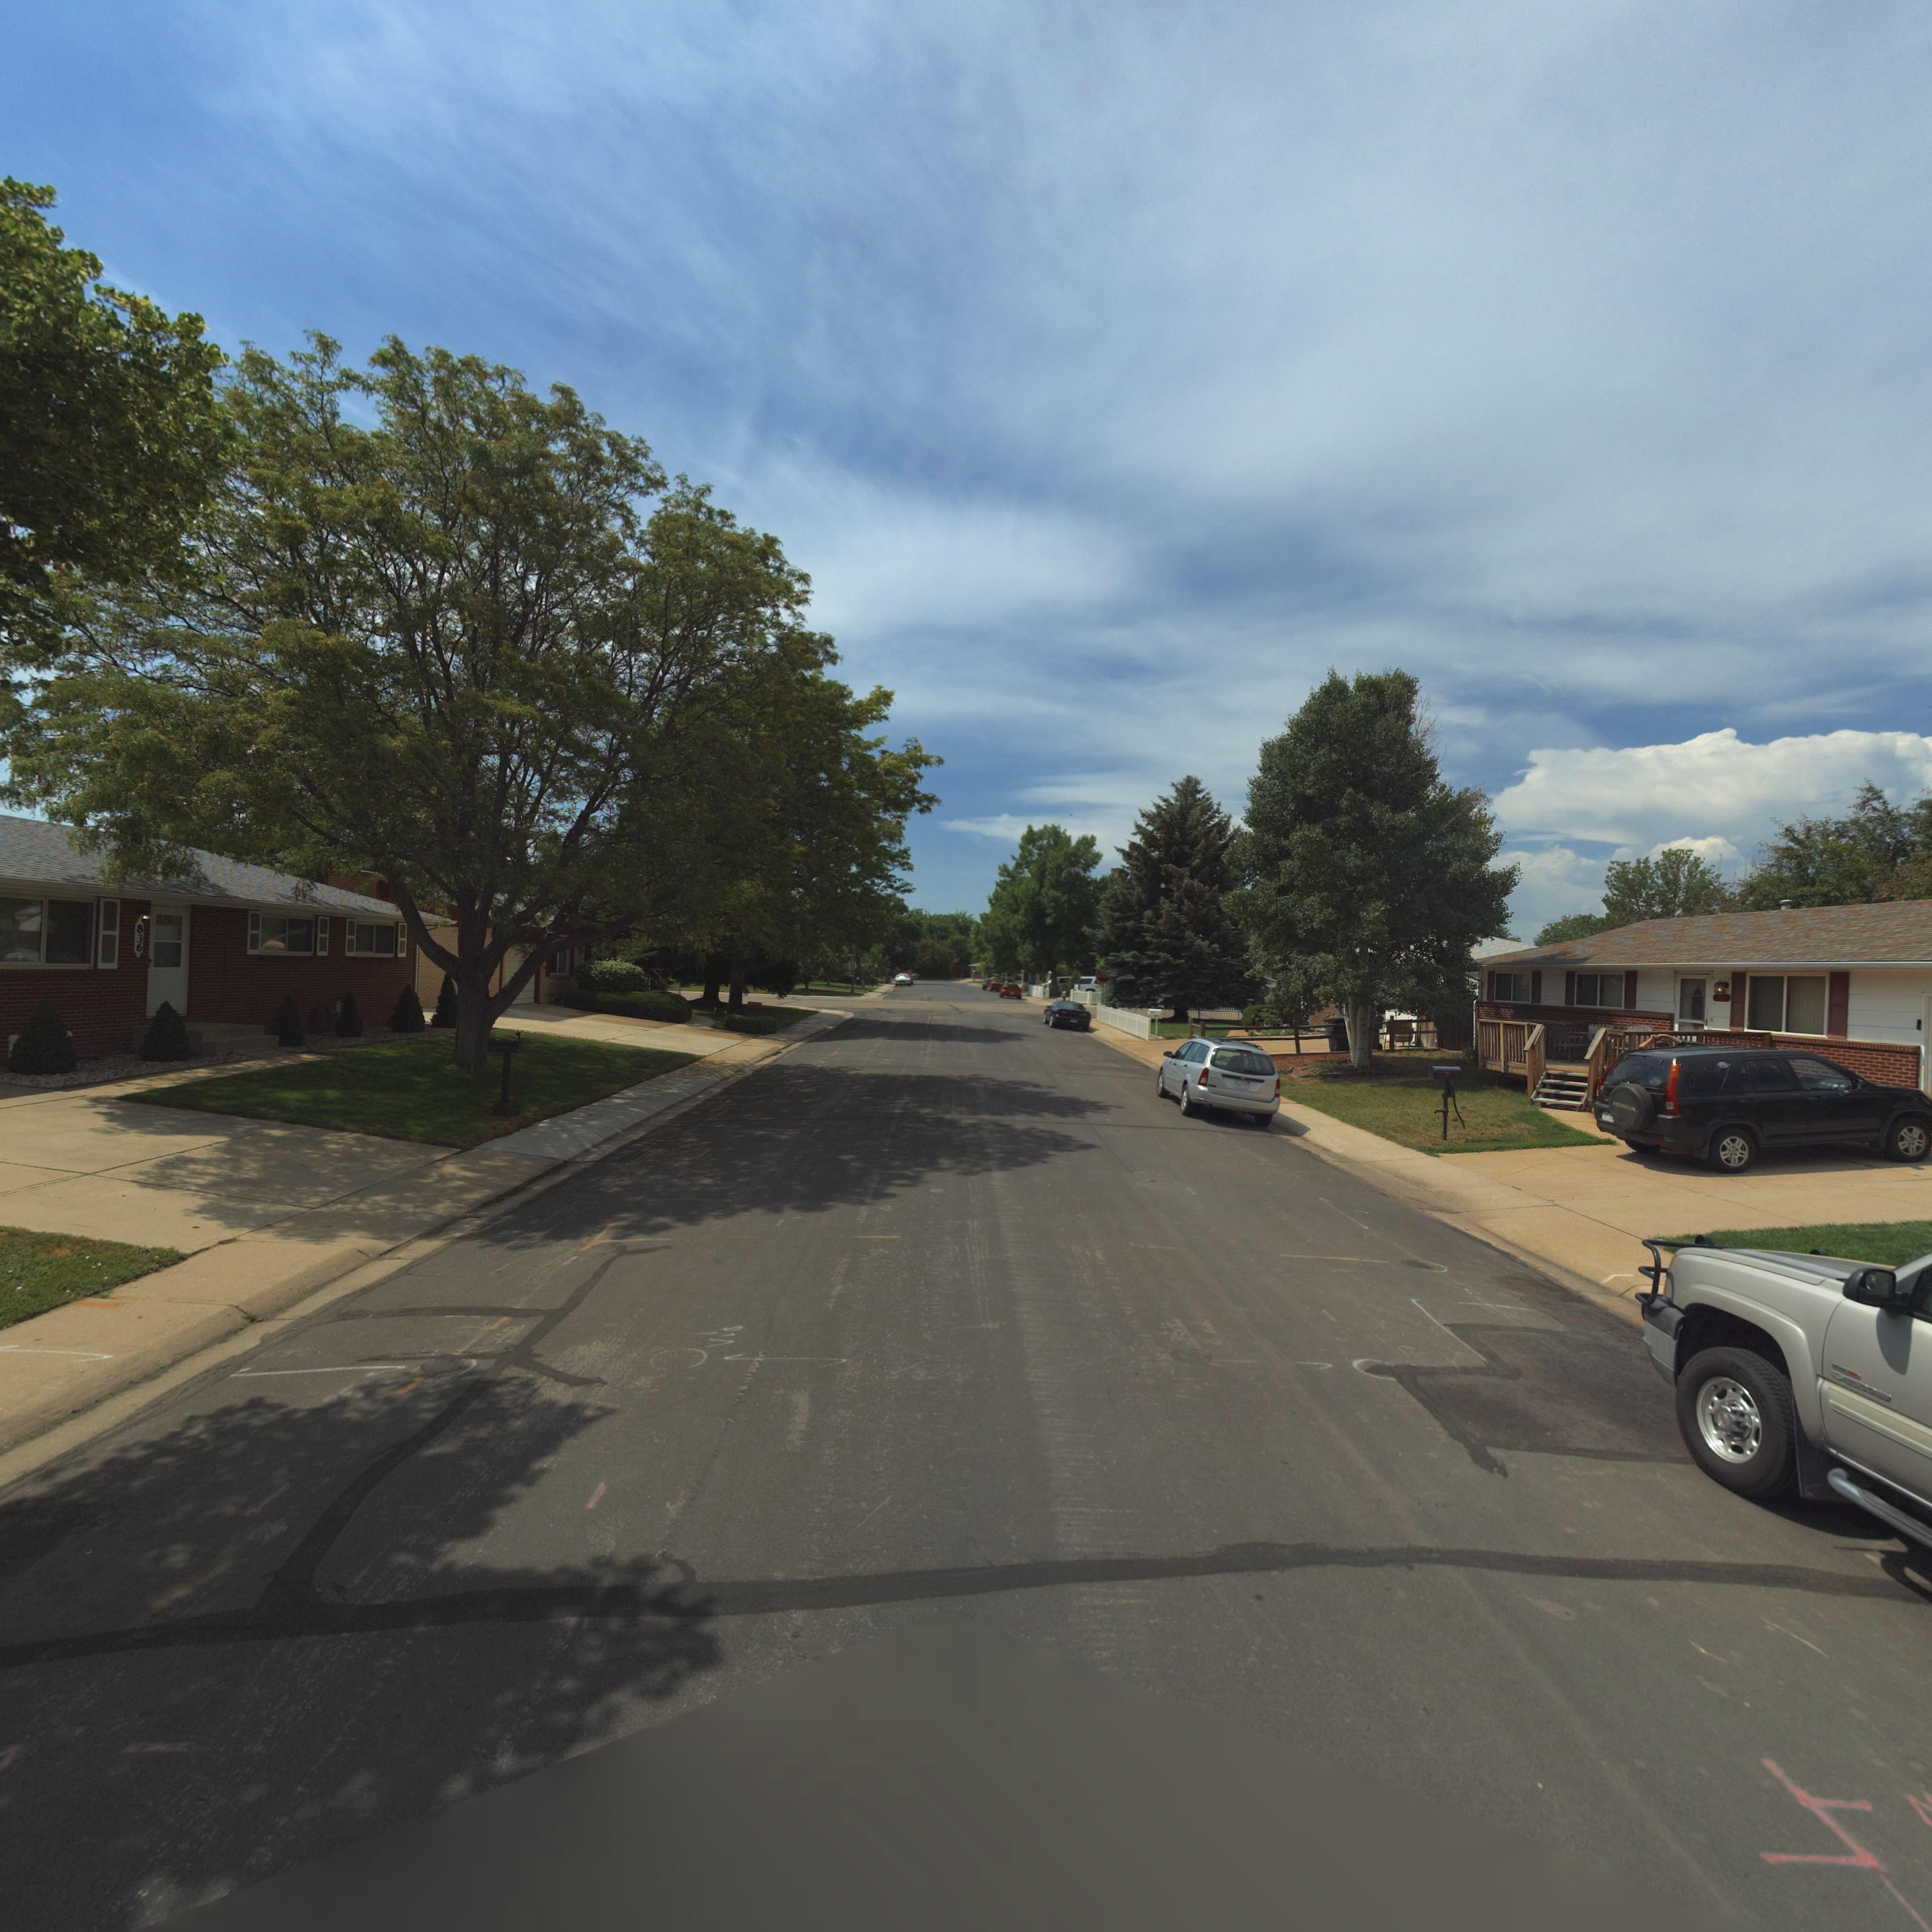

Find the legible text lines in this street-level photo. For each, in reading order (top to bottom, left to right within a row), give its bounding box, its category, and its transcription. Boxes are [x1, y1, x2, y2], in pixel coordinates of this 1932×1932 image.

[135, 923, 144, 952] StreetNumber: 836